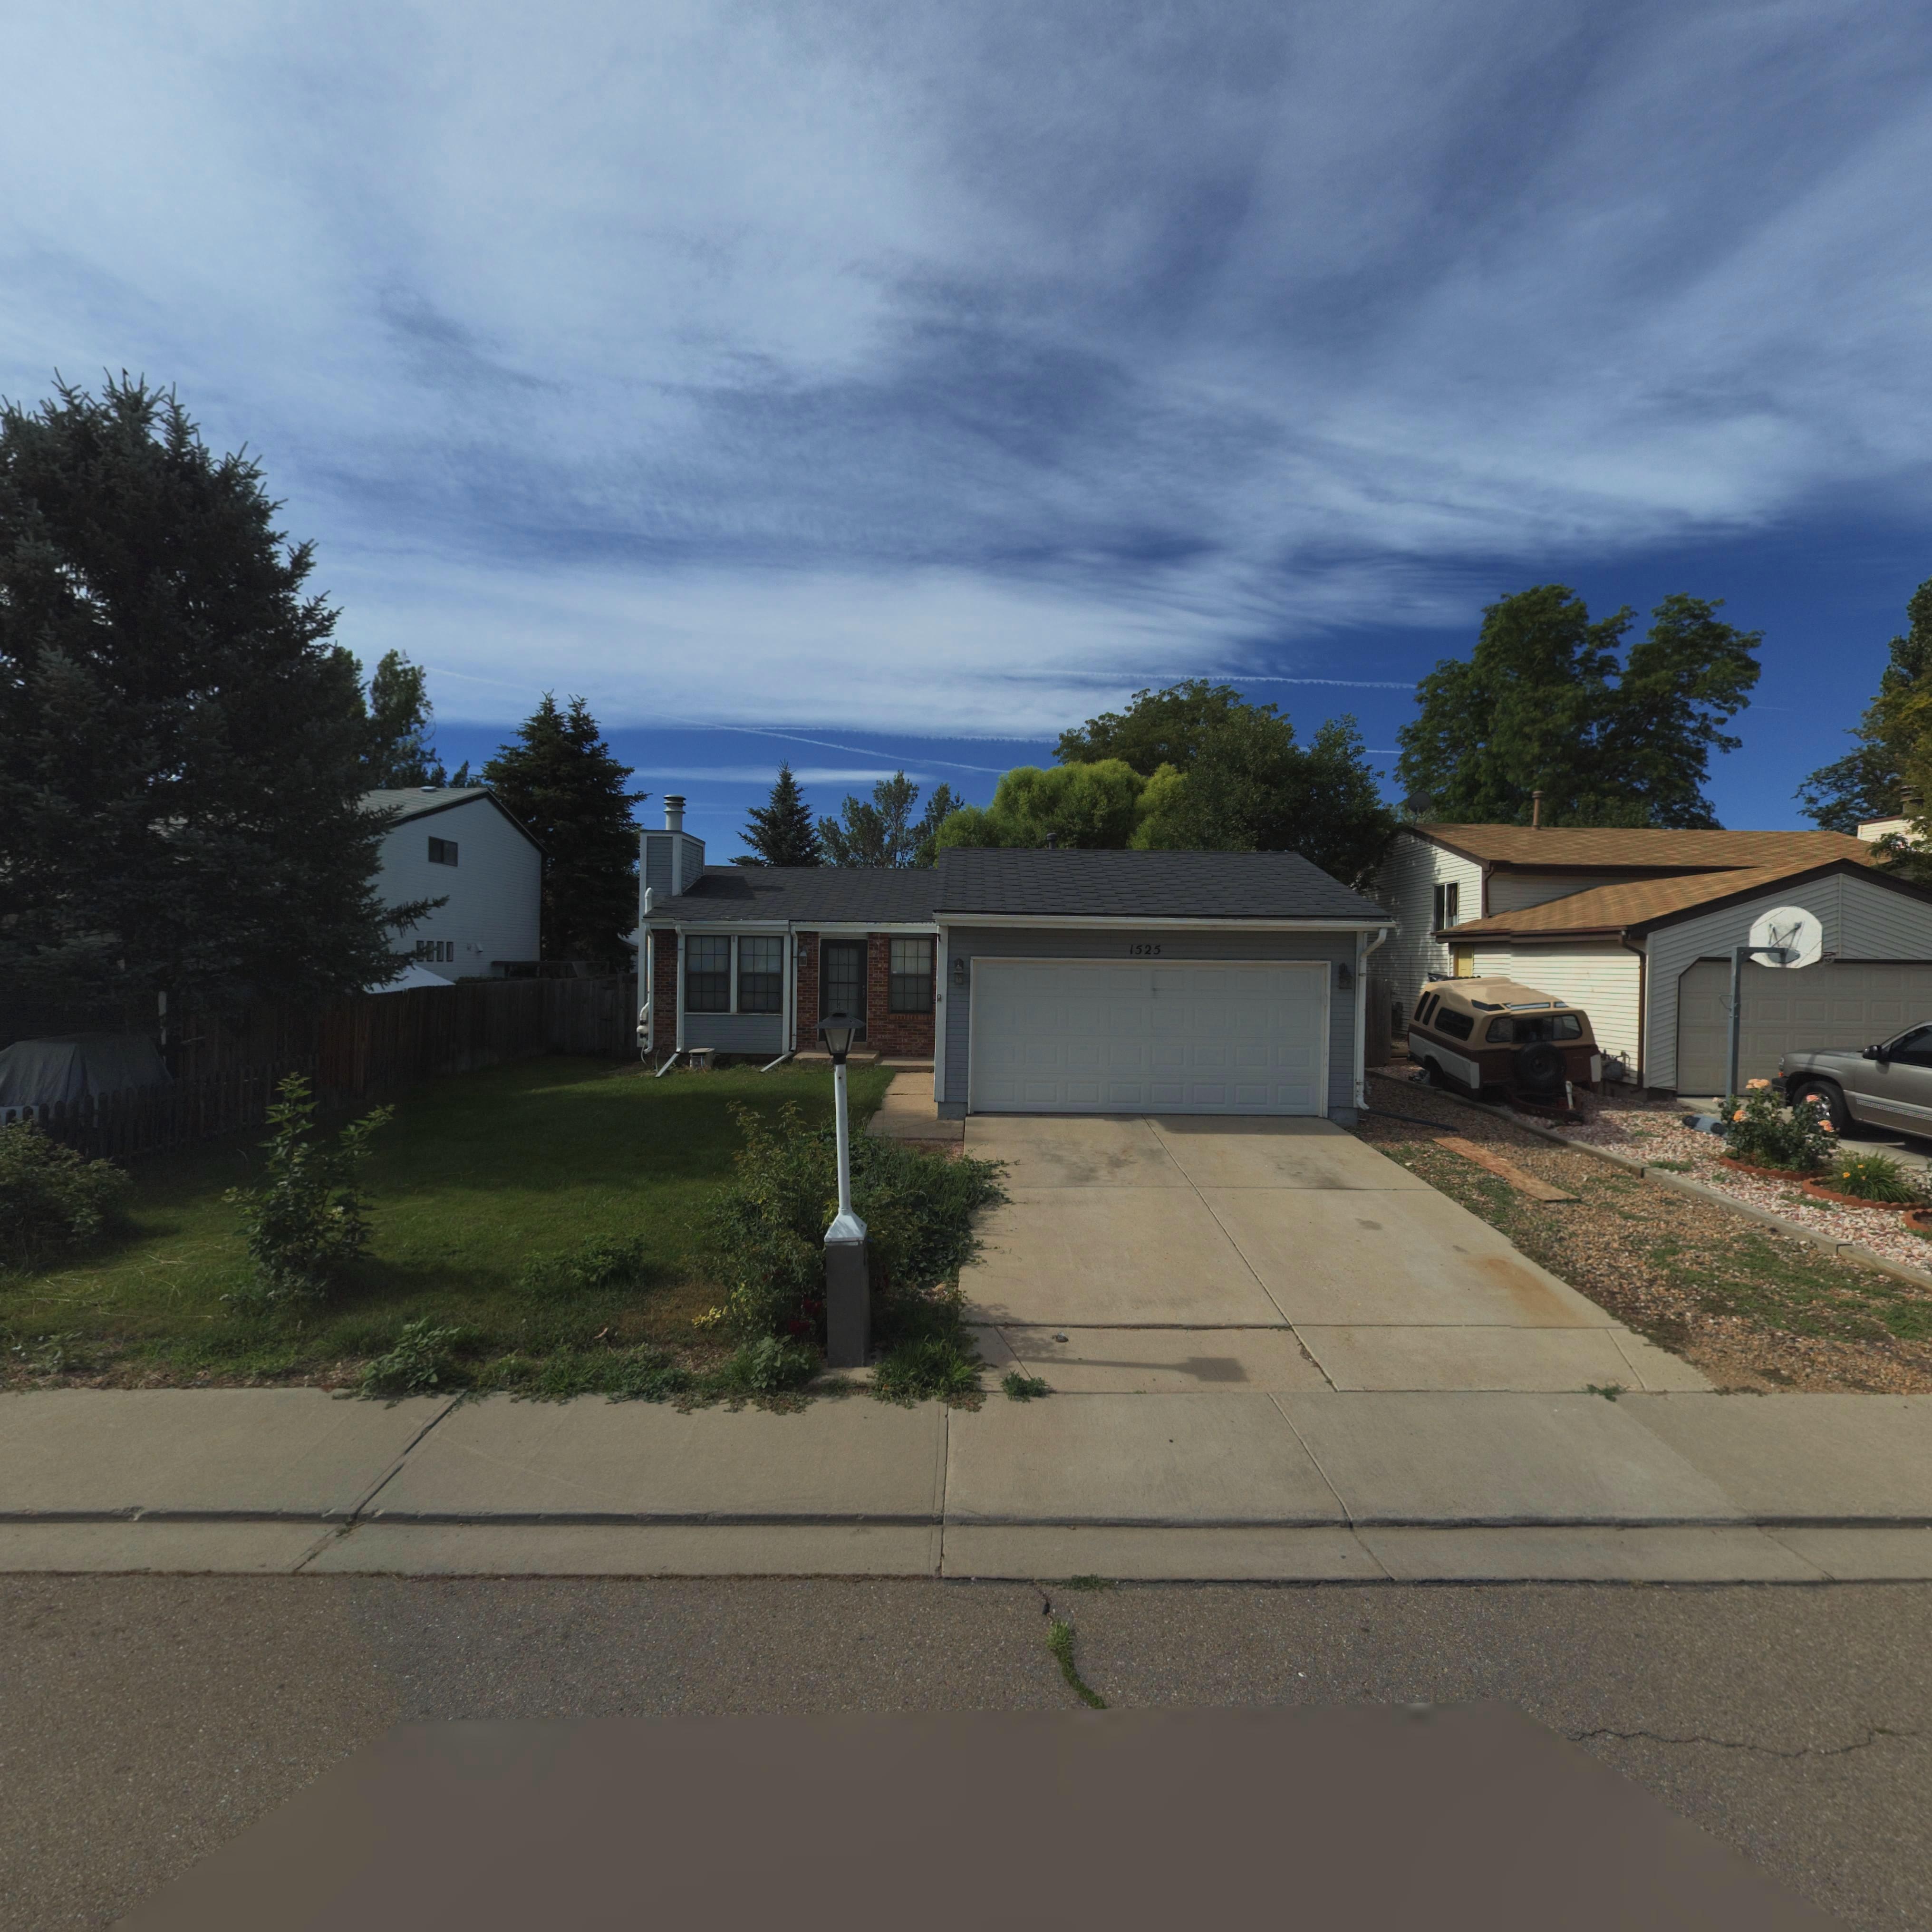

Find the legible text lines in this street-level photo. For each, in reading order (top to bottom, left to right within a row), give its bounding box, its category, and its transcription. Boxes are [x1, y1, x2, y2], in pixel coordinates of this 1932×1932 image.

[1129, 943, 1162, 955] StreetNumber: 1525